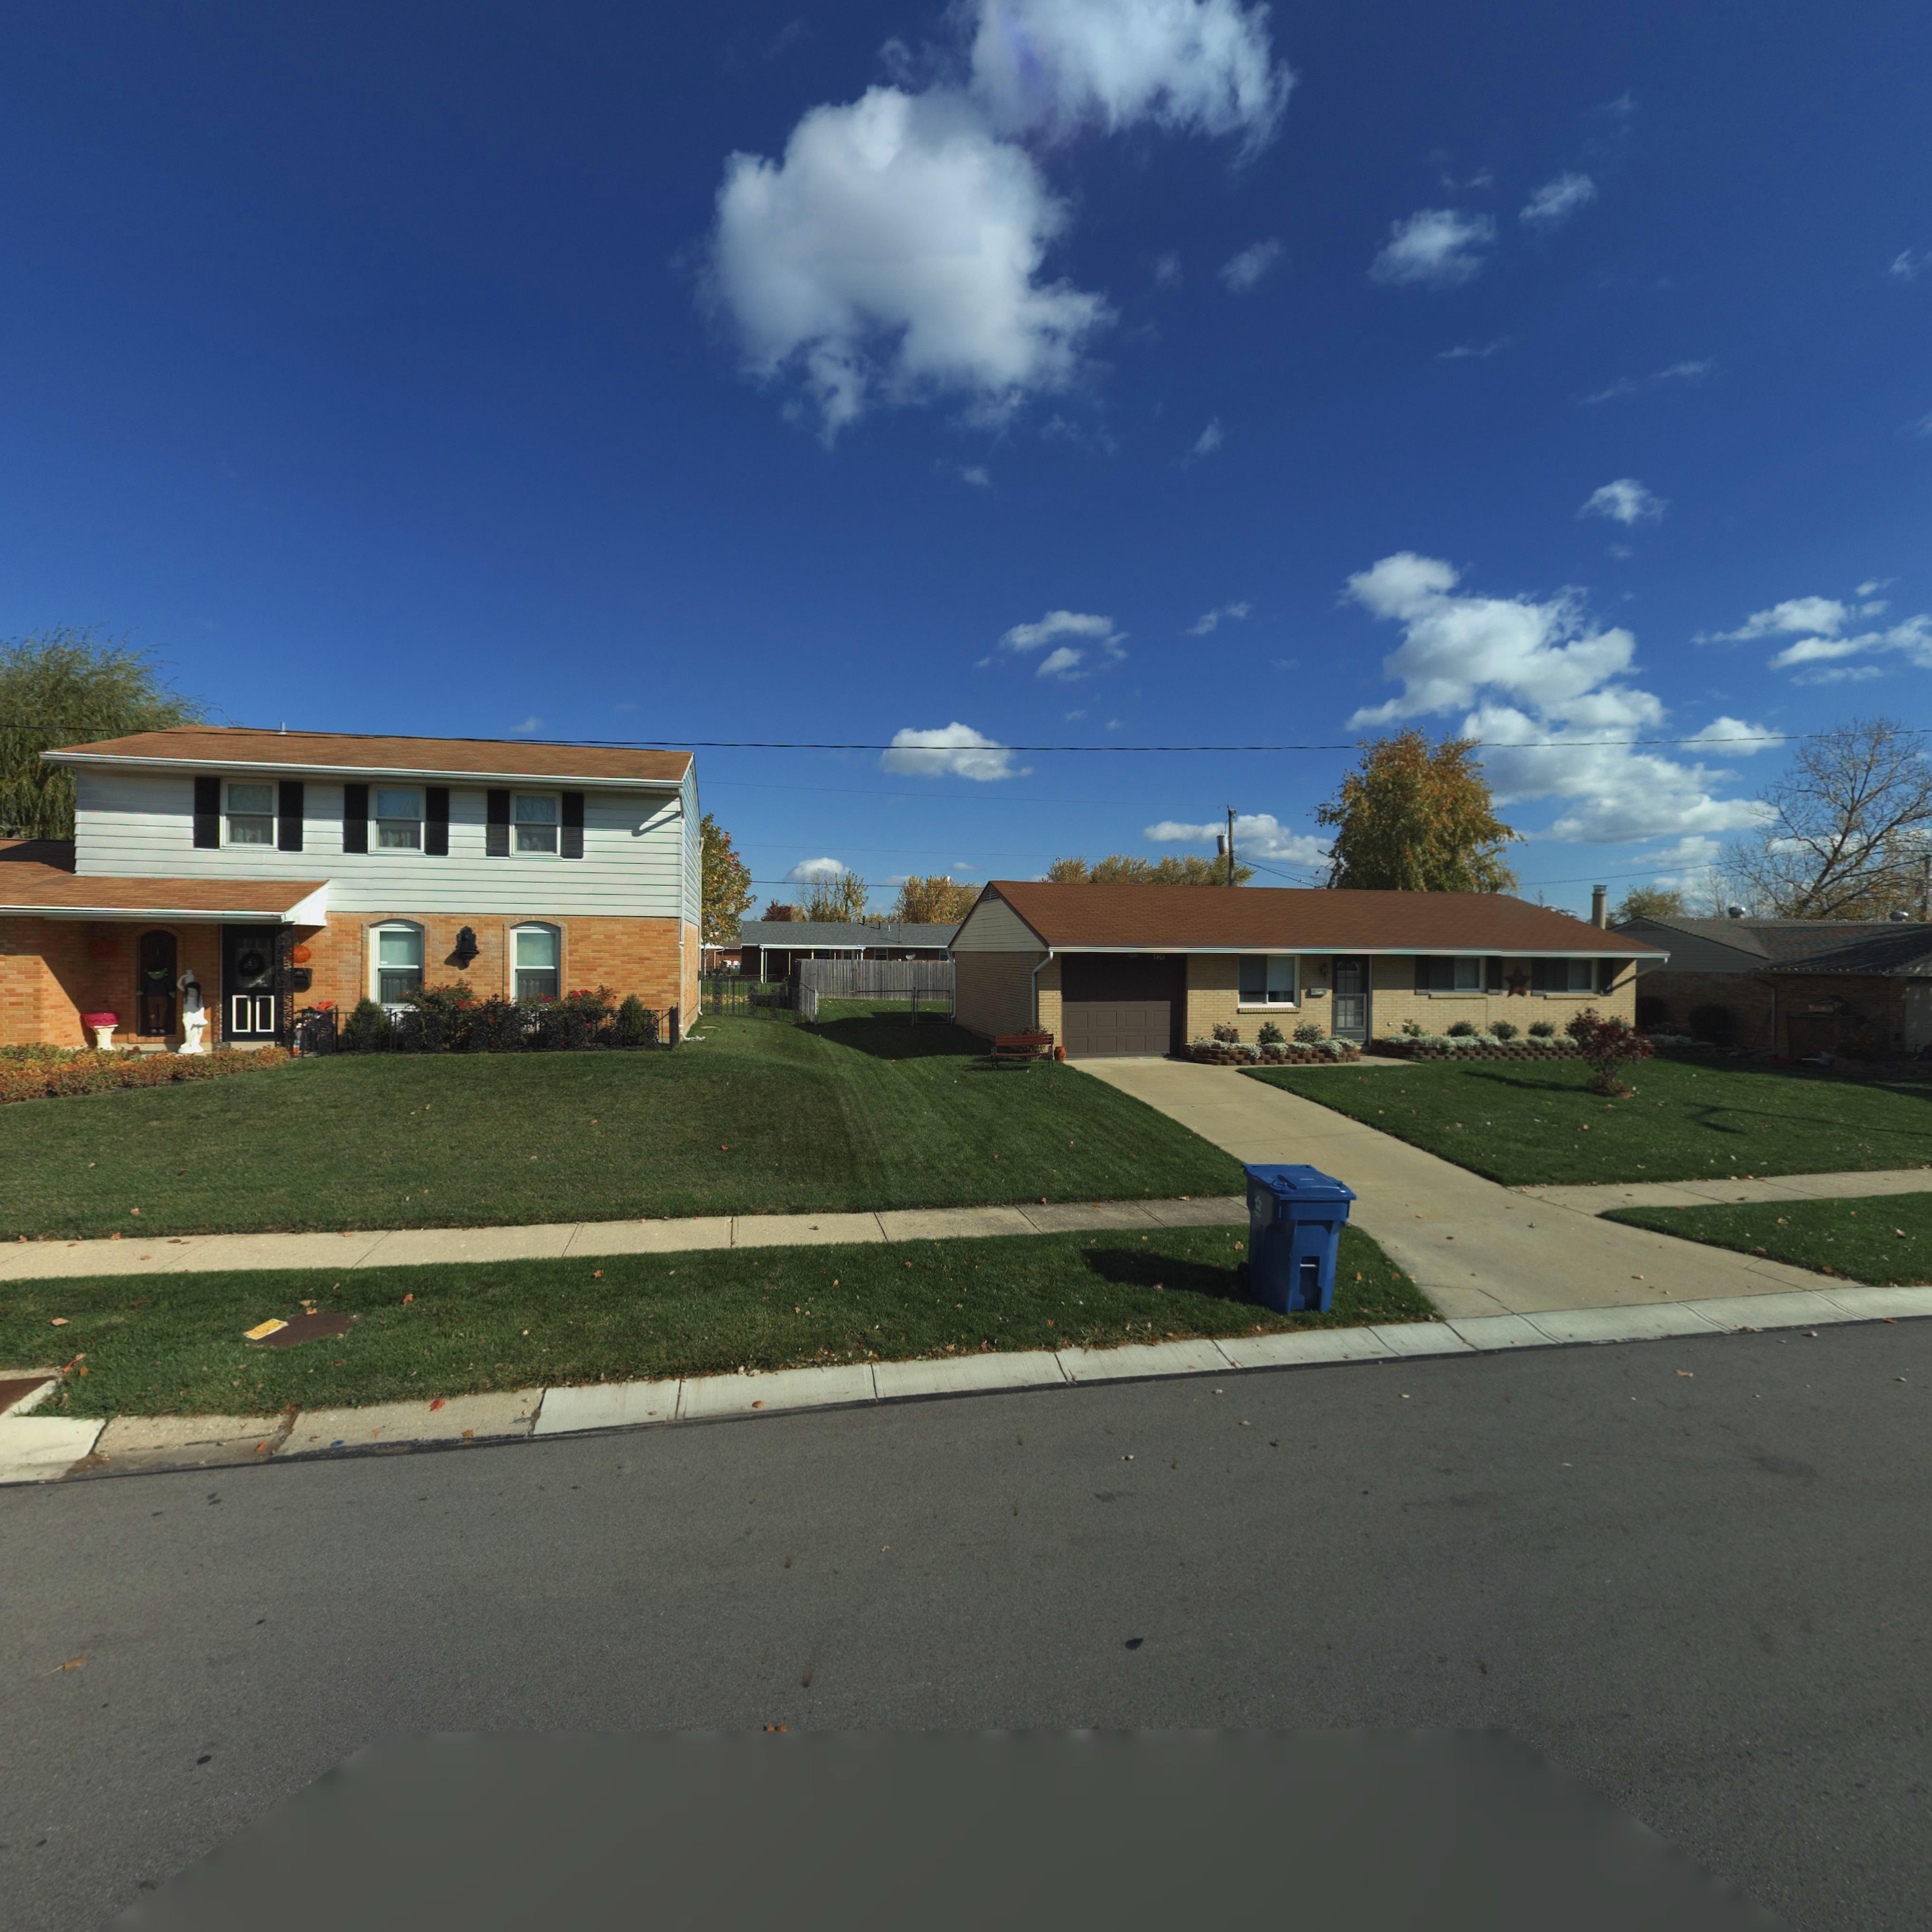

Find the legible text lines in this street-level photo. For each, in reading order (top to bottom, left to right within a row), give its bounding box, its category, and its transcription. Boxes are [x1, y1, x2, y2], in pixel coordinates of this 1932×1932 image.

[1151, 953, 1166, 961] StreetNumber: 7401